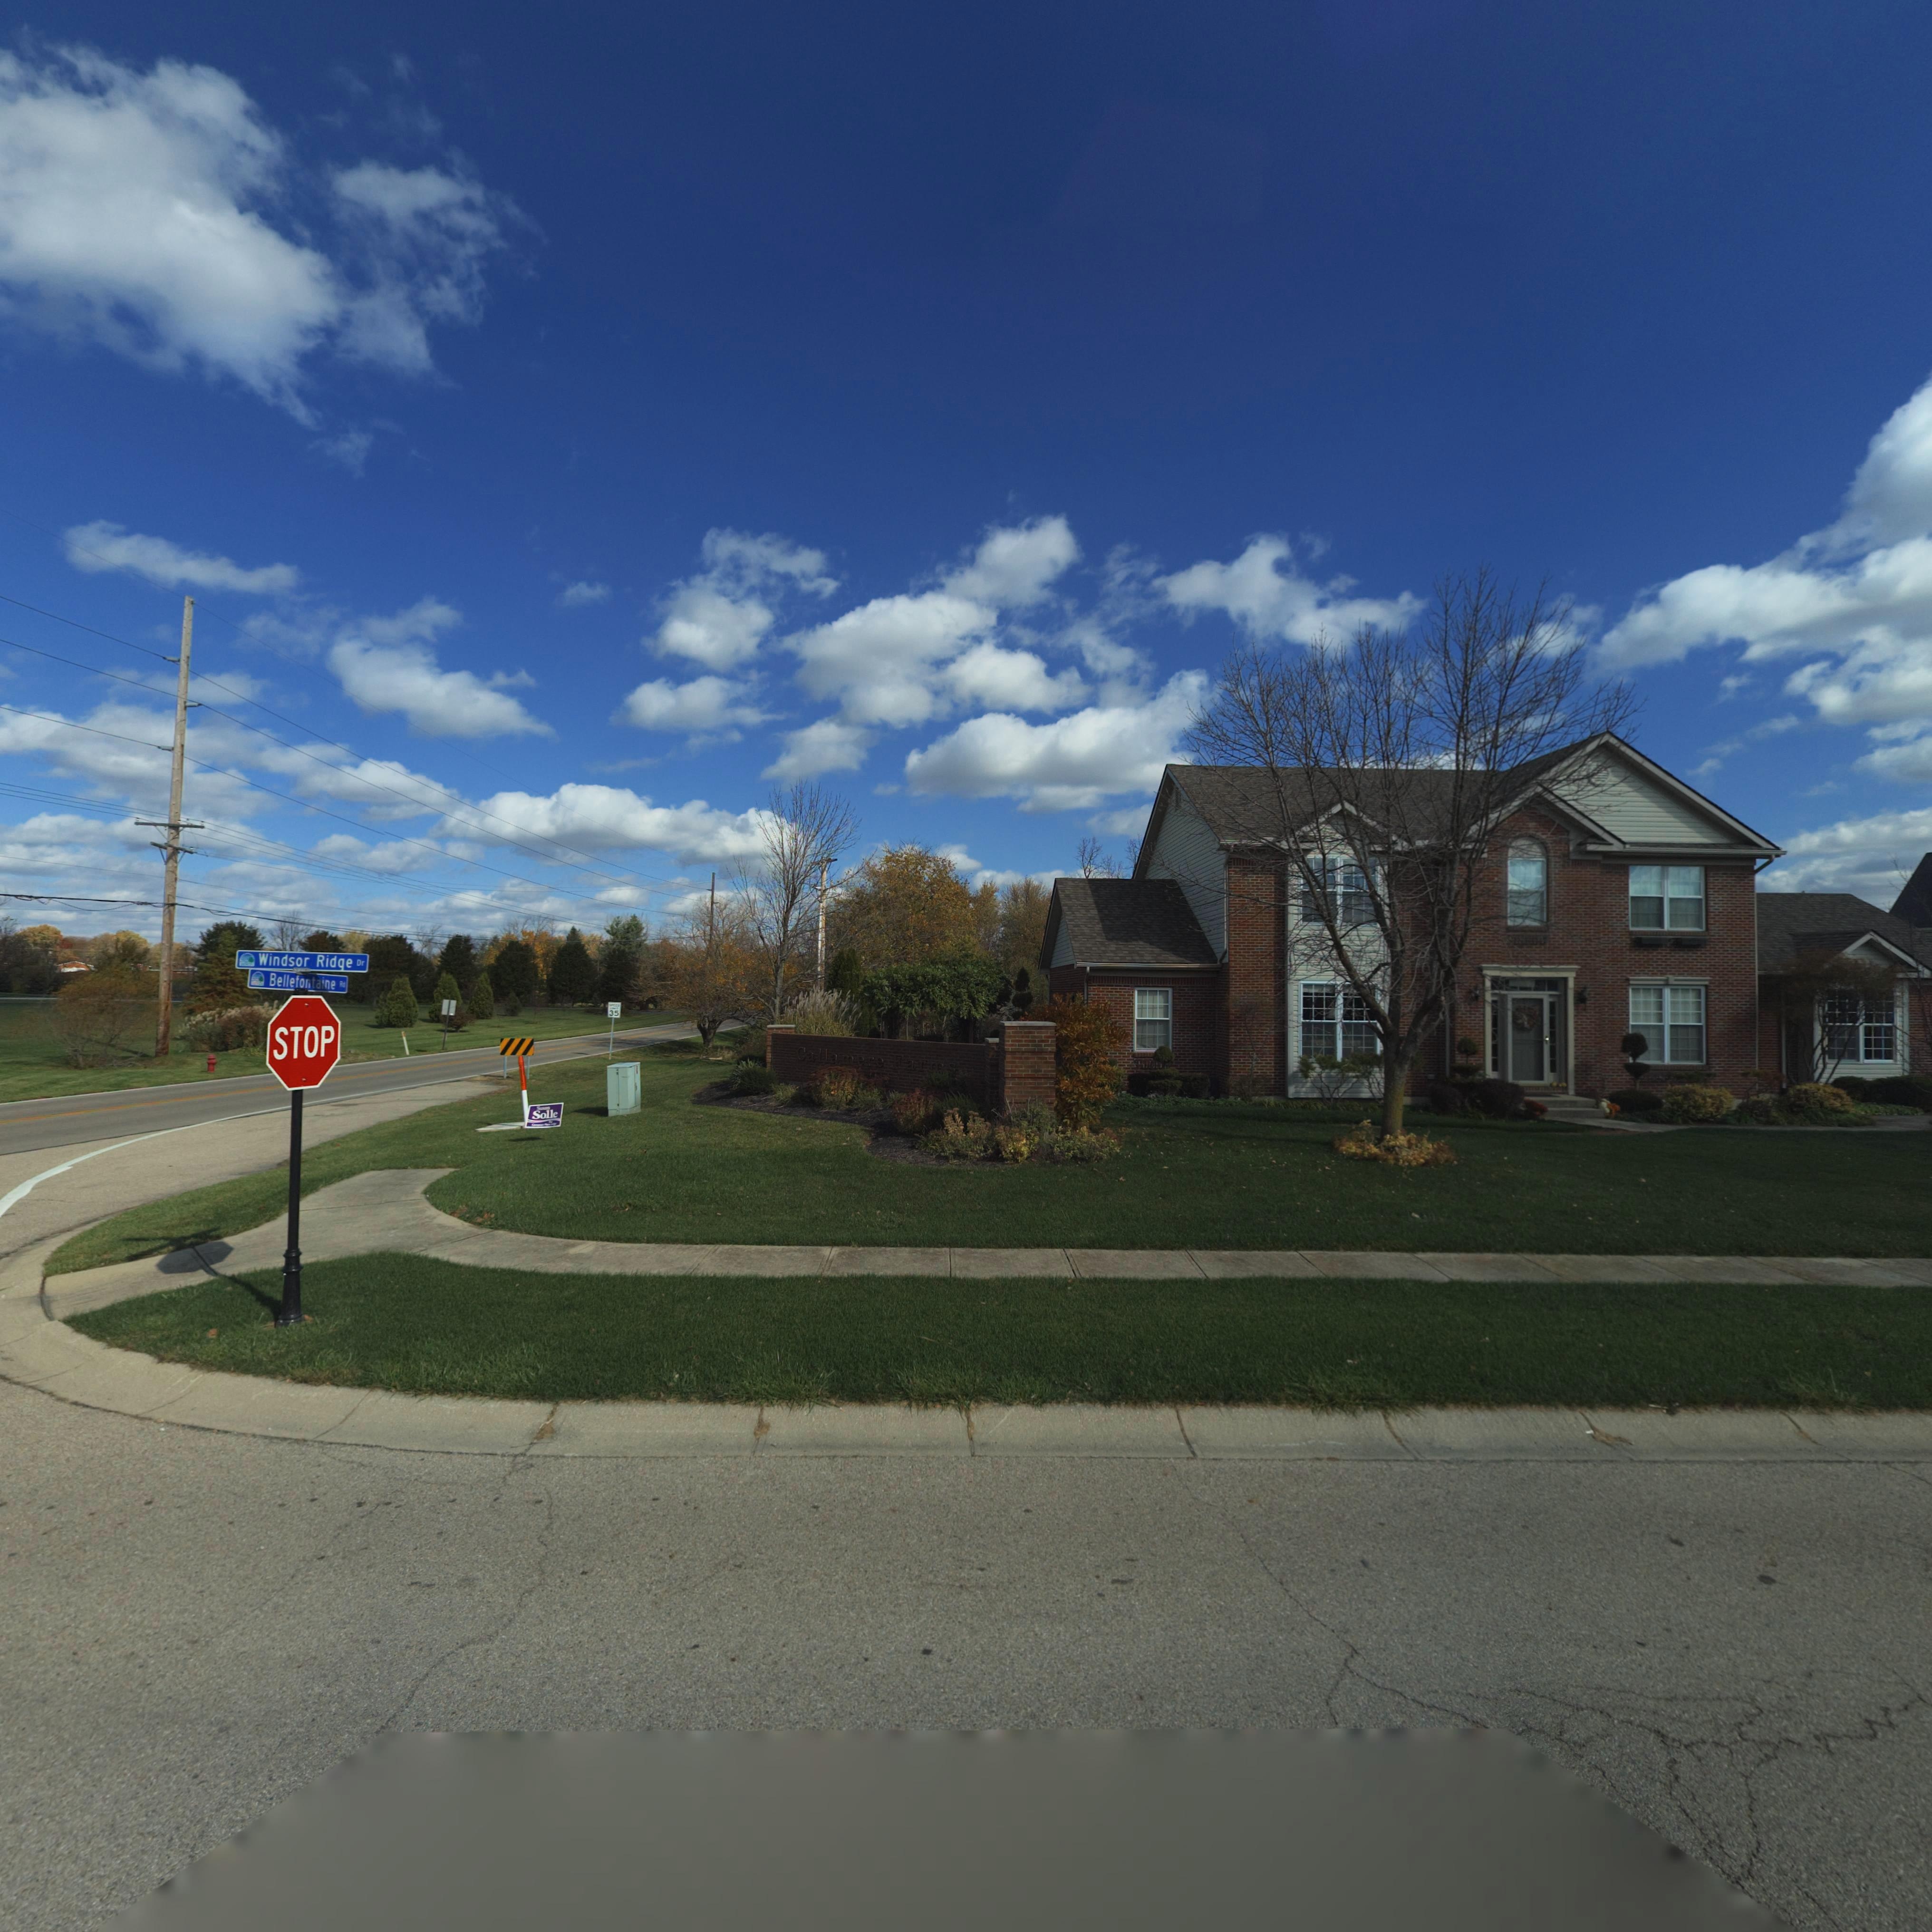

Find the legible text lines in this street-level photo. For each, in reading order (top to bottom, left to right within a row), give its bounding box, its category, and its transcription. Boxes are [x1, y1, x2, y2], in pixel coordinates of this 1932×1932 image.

[258, 952, 367, 972] StreetName: Windsor Ridge Dr
[268, 971, 346, 991] StreetName: Bellefontaine Rd